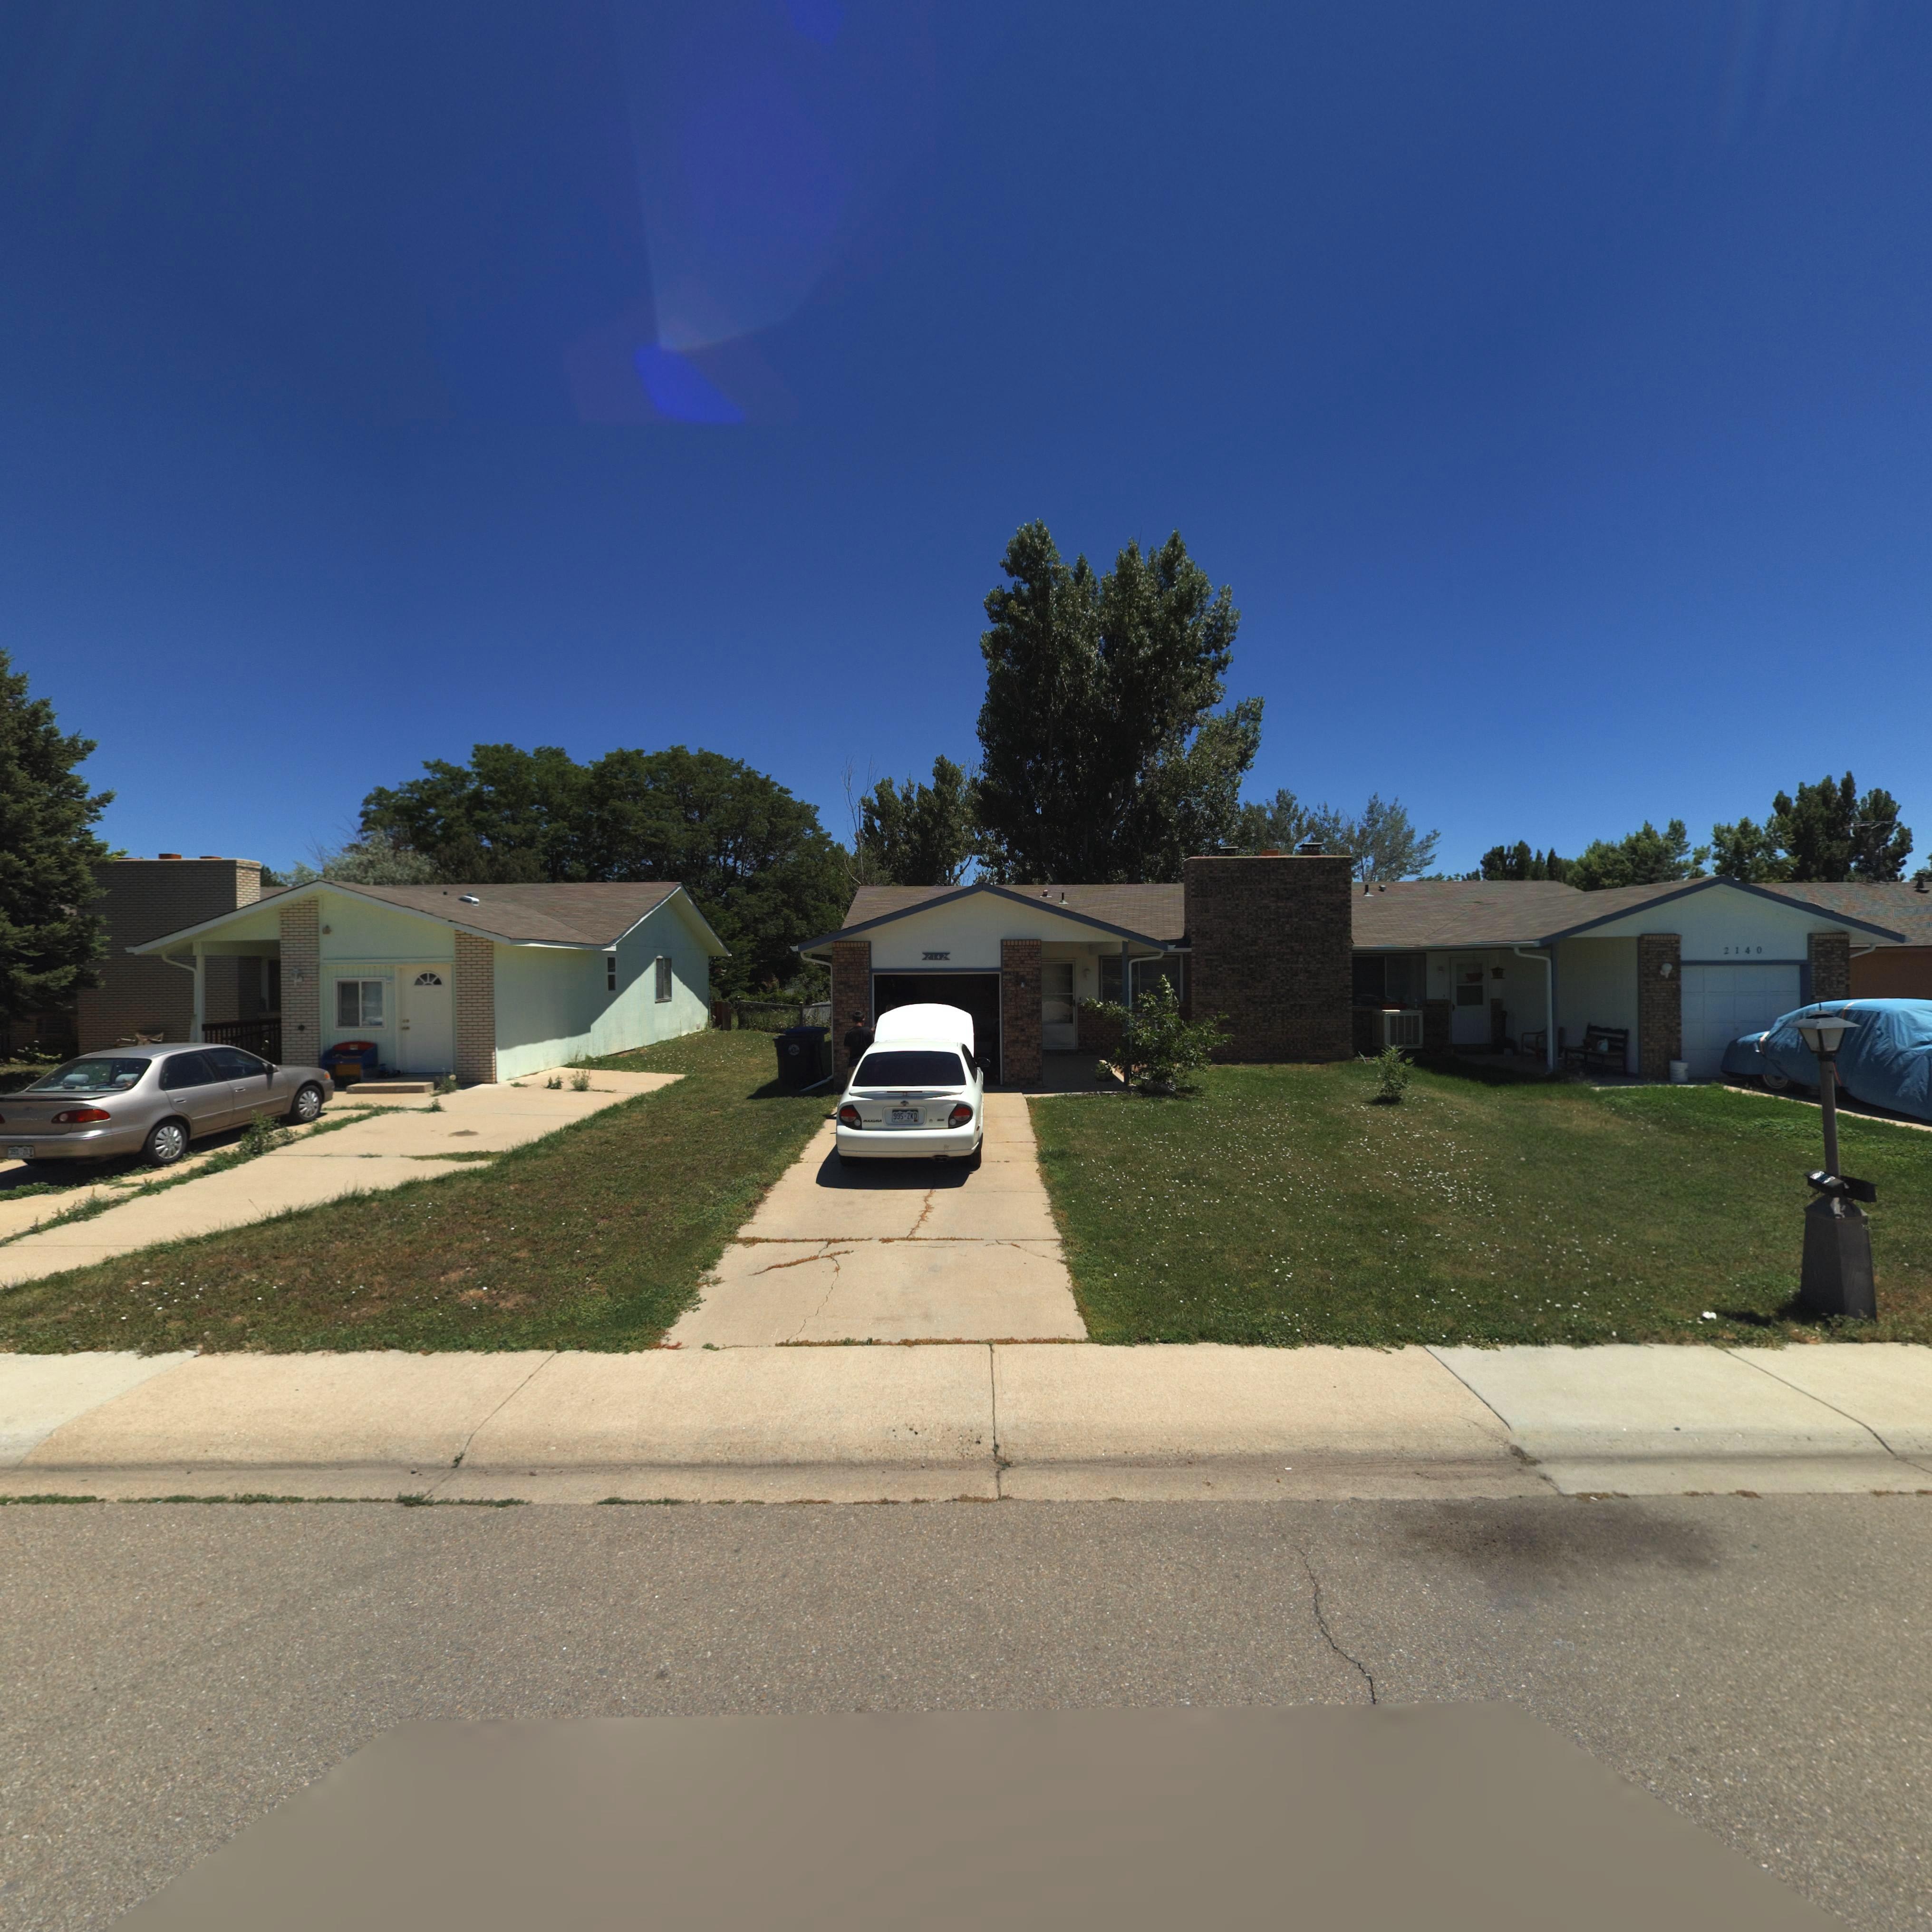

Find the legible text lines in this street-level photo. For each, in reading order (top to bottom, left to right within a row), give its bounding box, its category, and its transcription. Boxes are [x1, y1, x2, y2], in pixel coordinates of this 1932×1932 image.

[1723, 945, 1762, 955] StreetNumber: 2140
[923, 953, 947, 960] StreetNumber: 2142